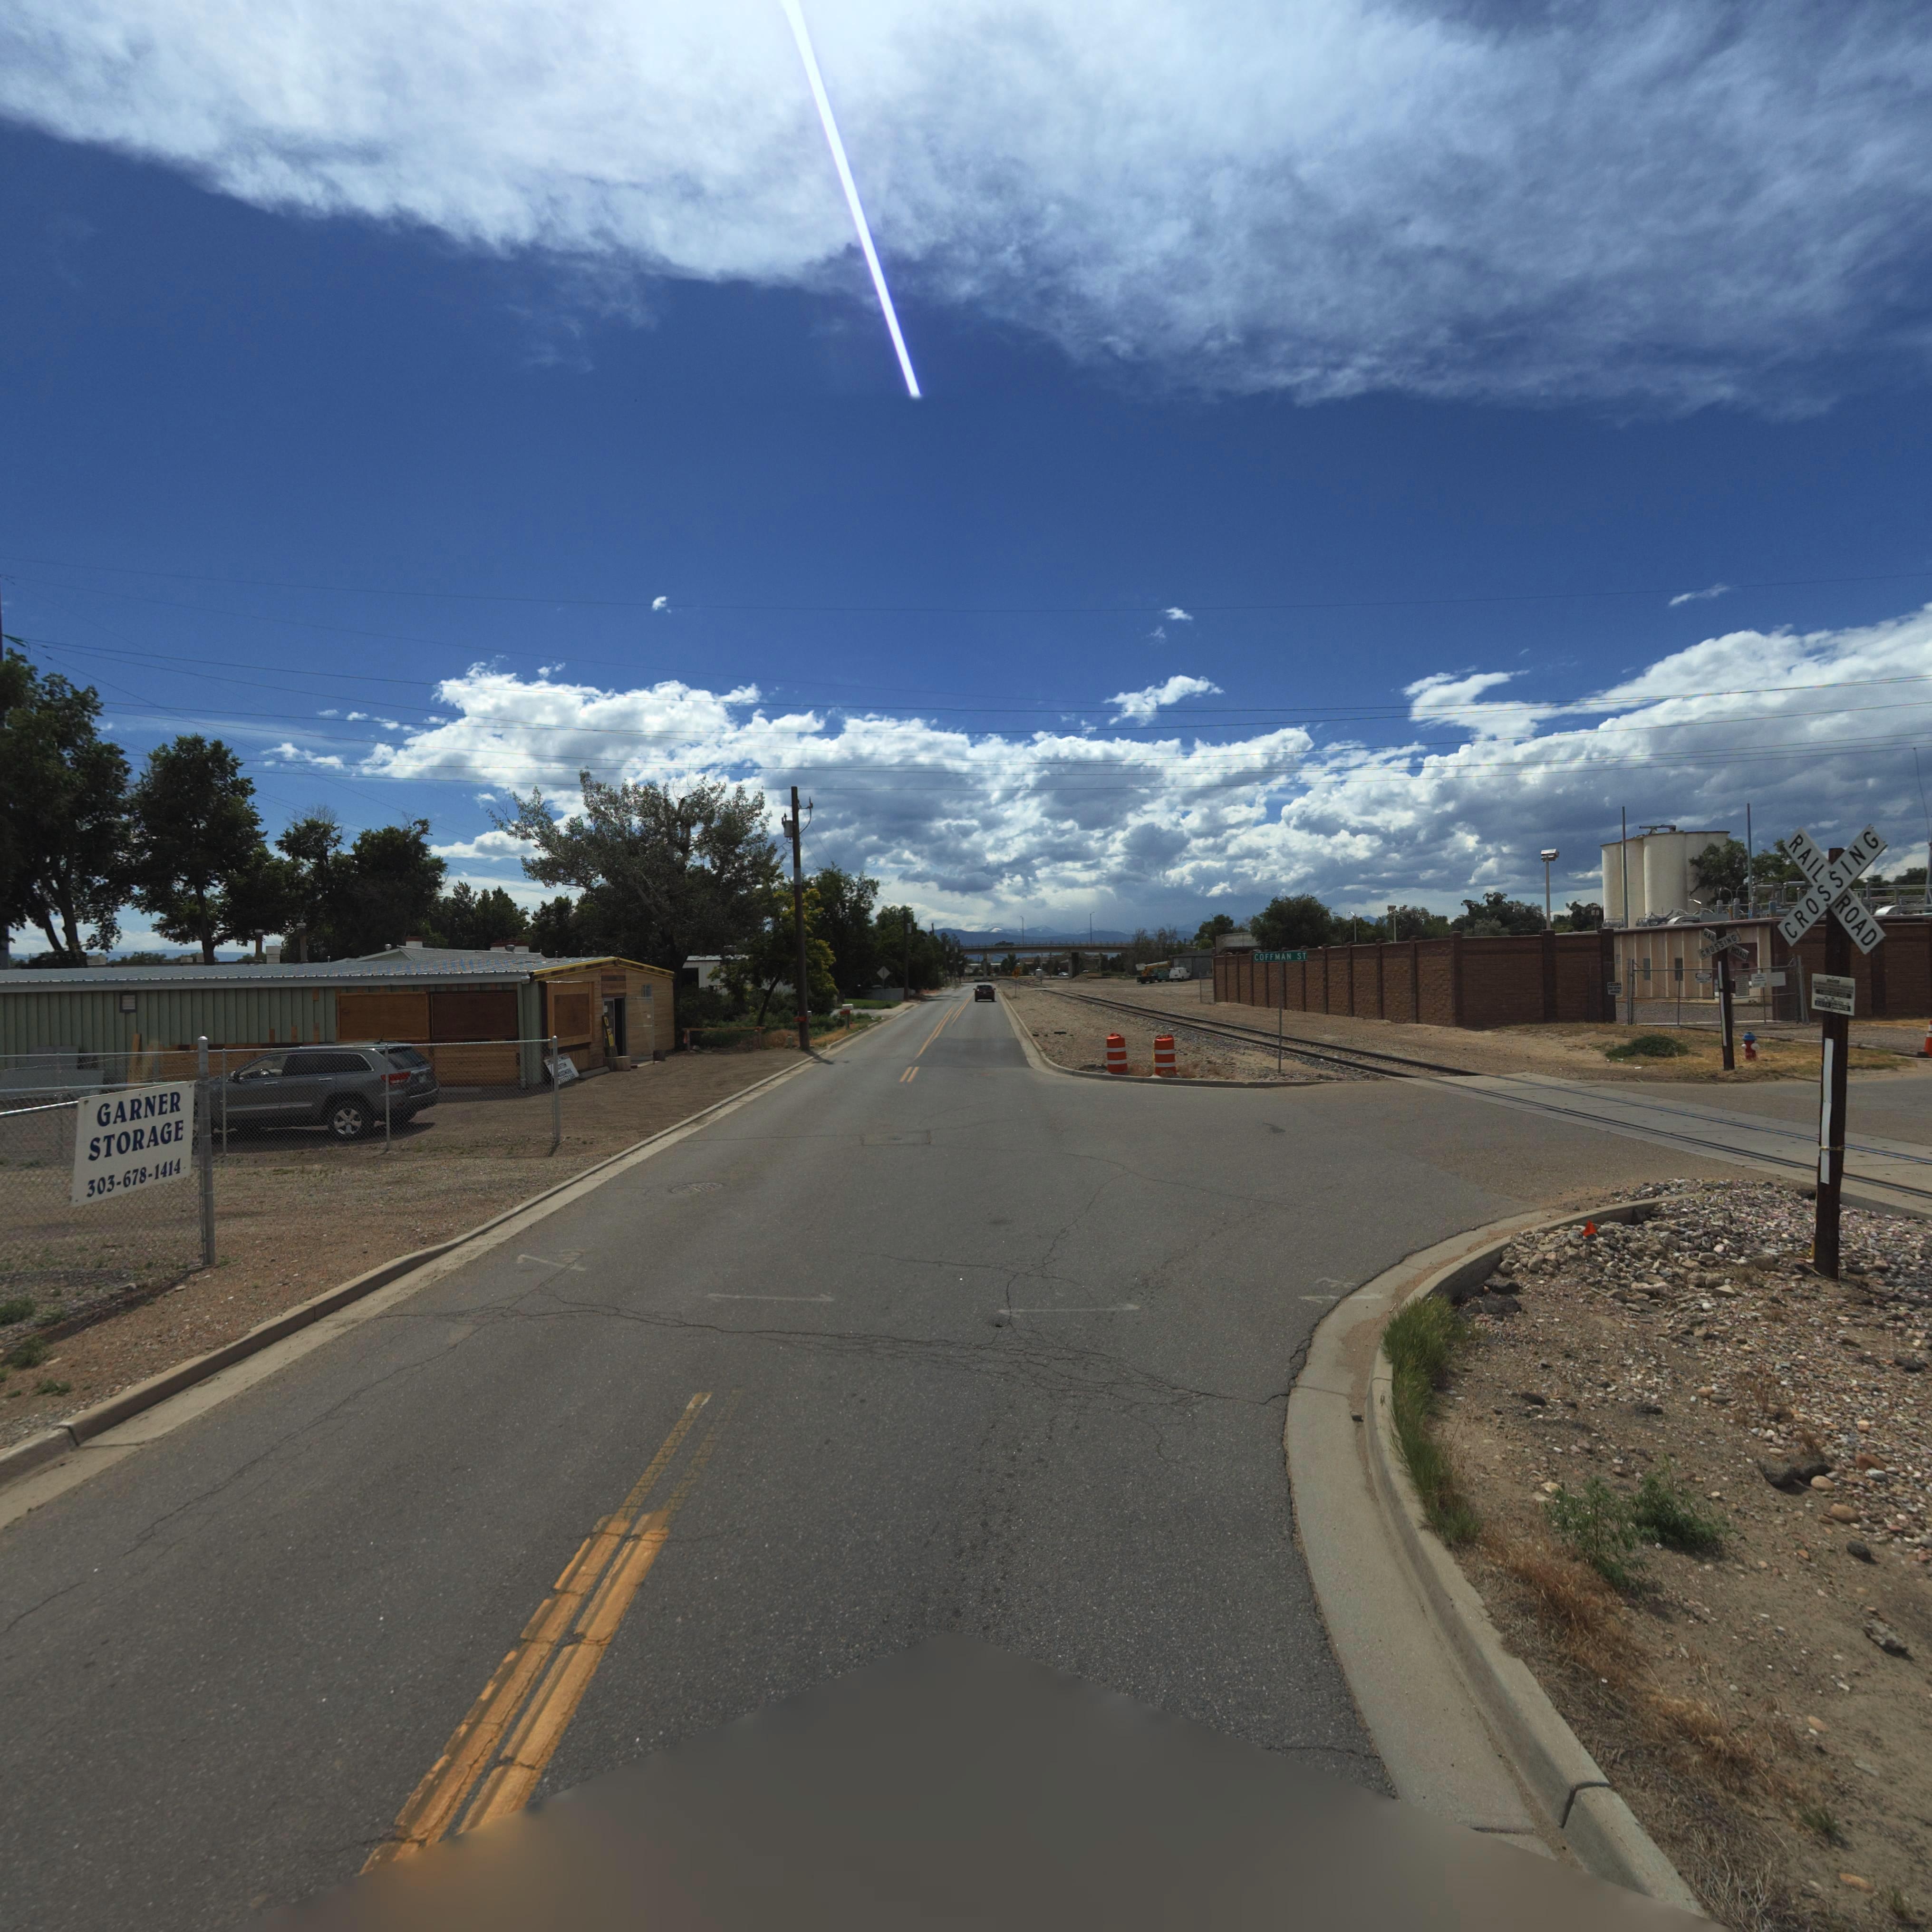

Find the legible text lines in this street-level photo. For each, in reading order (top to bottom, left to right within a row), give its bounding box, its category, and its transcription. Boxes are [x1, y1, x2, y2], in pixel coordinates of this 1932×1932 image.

[1254, 952, 1306, 960] StreetName: COFFMAN ST
[97, 1091, 181, 1127] BusinessName: GARNER
[87, 1119, 184, 1161] BusinessName: STORAGE